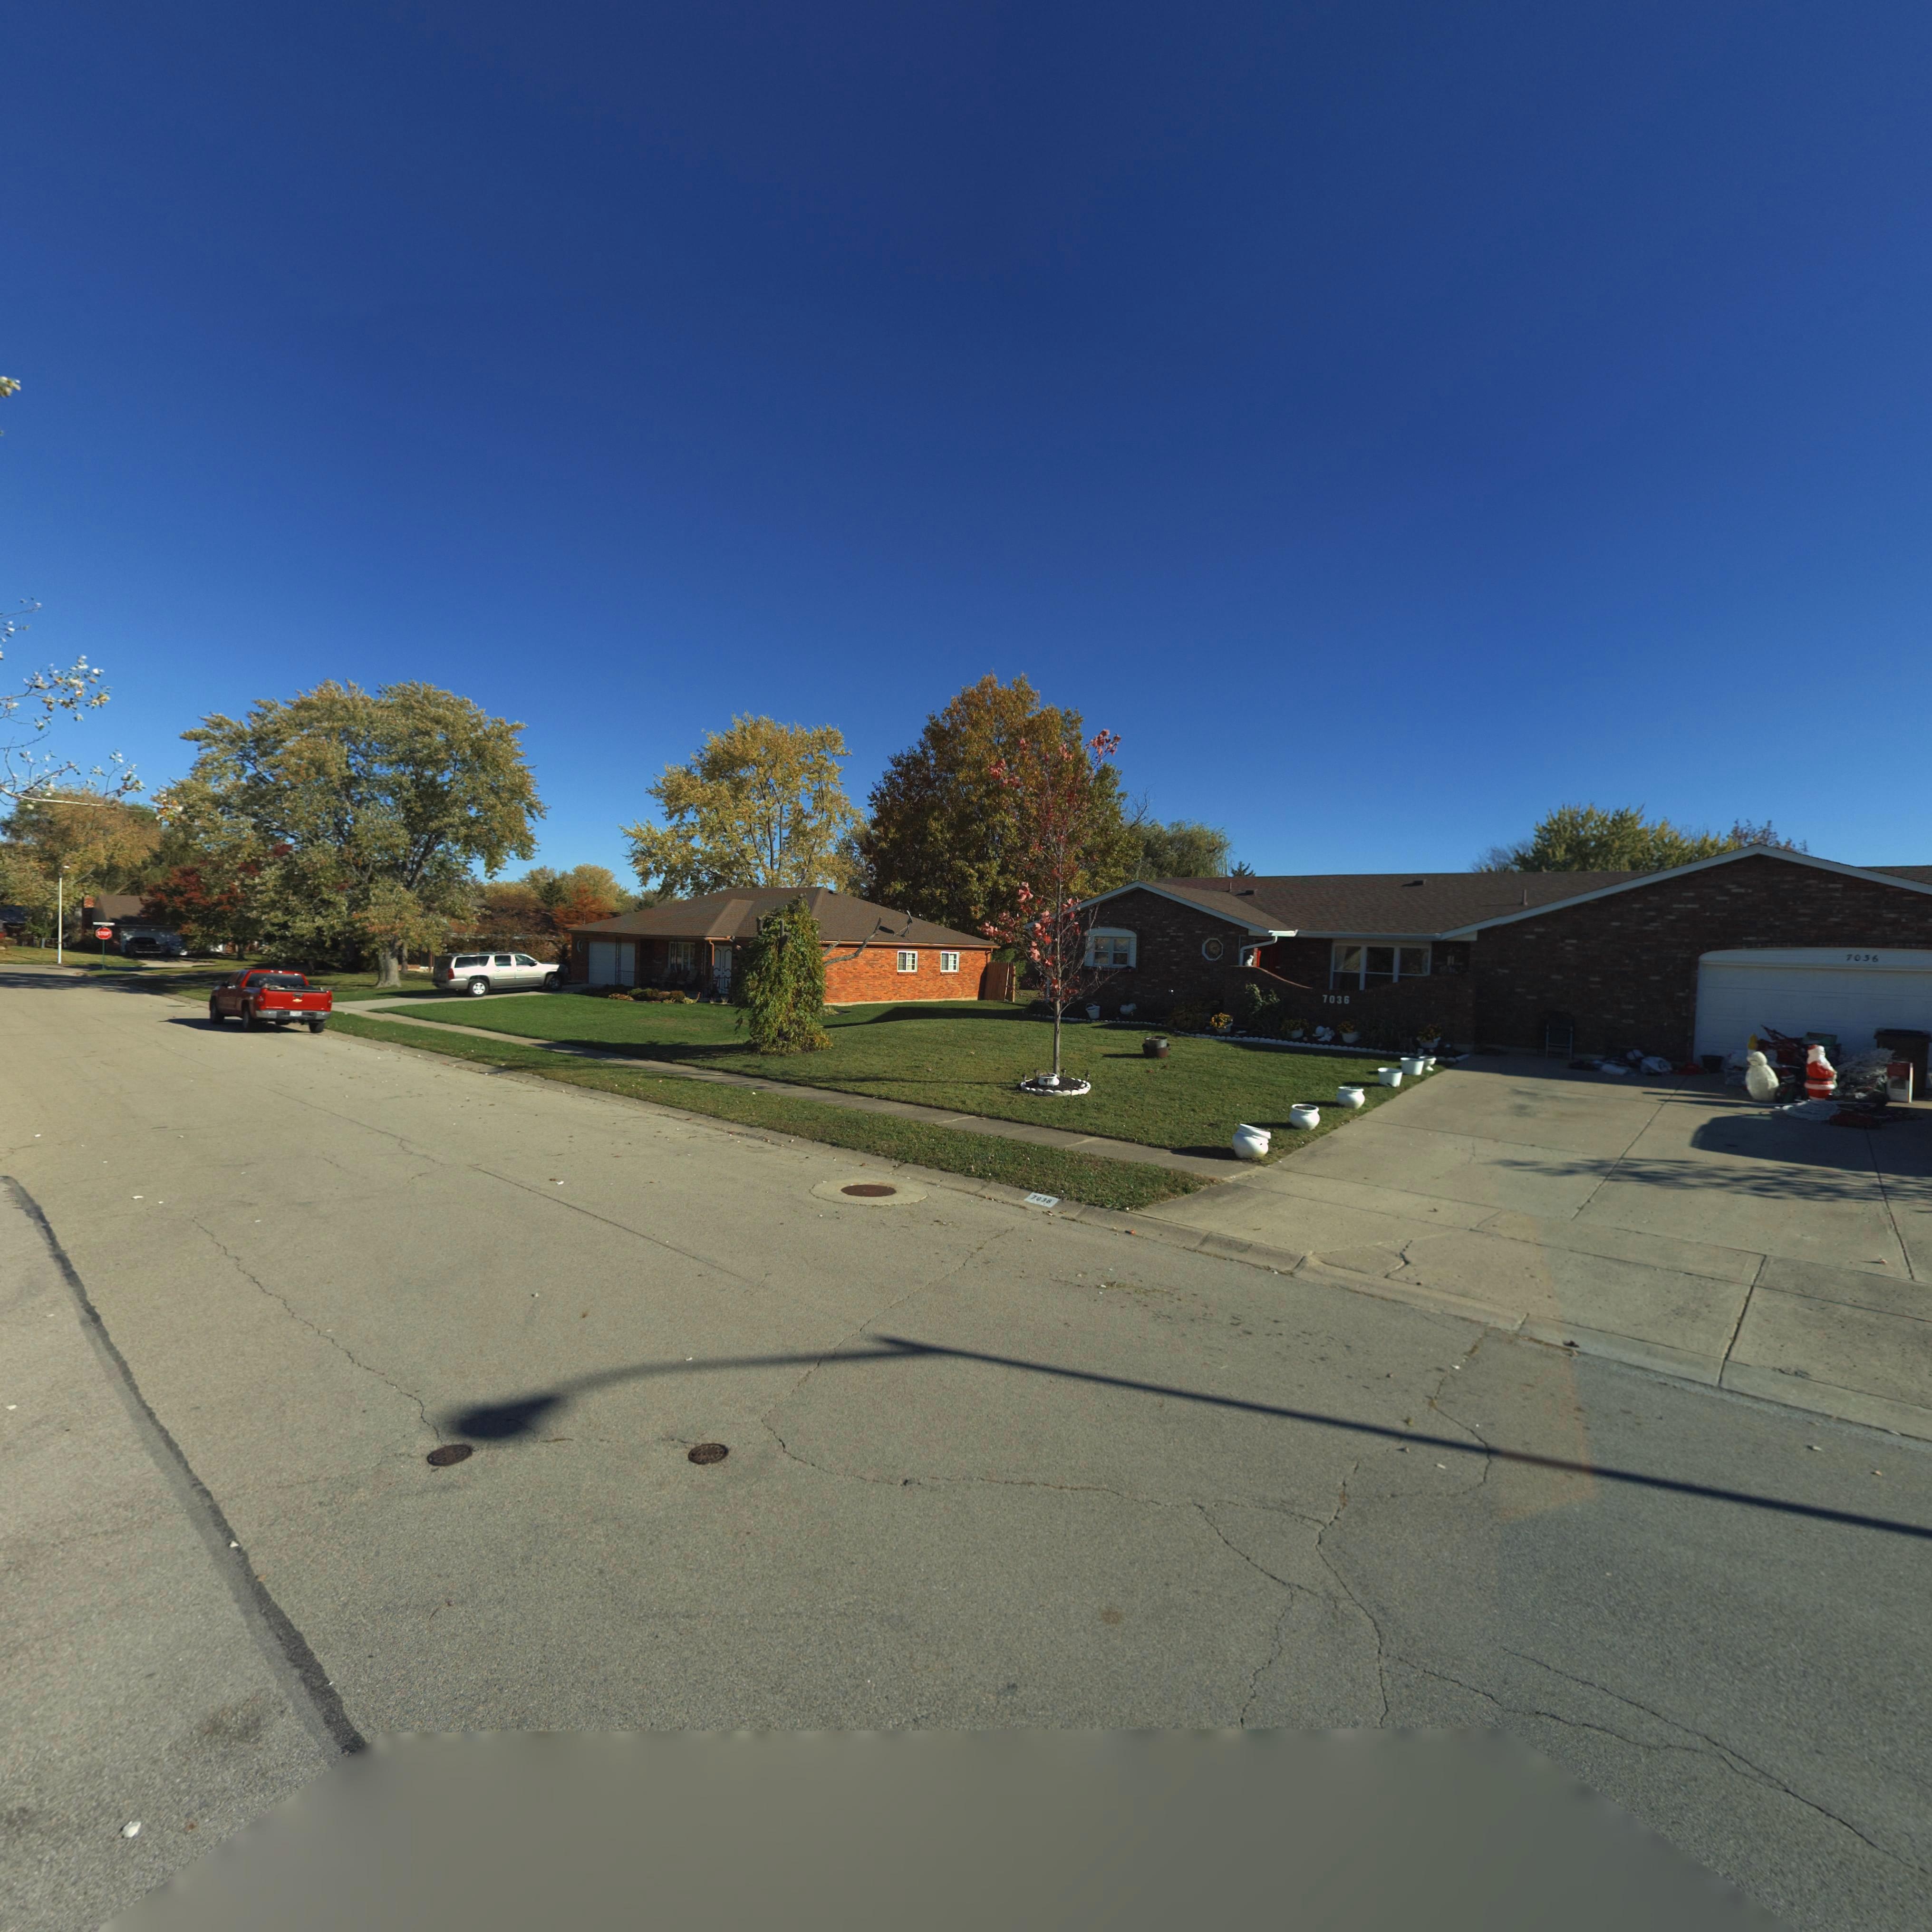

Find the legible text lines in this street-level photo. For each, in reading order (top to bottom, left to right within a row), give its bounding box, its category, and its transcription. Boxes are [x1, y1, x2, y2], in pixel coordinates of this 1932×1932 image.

[1845, 954, 1879, 963] StreetNumber: 7036
[1322, 994, 1350, 1005] StreetNumber: 7036